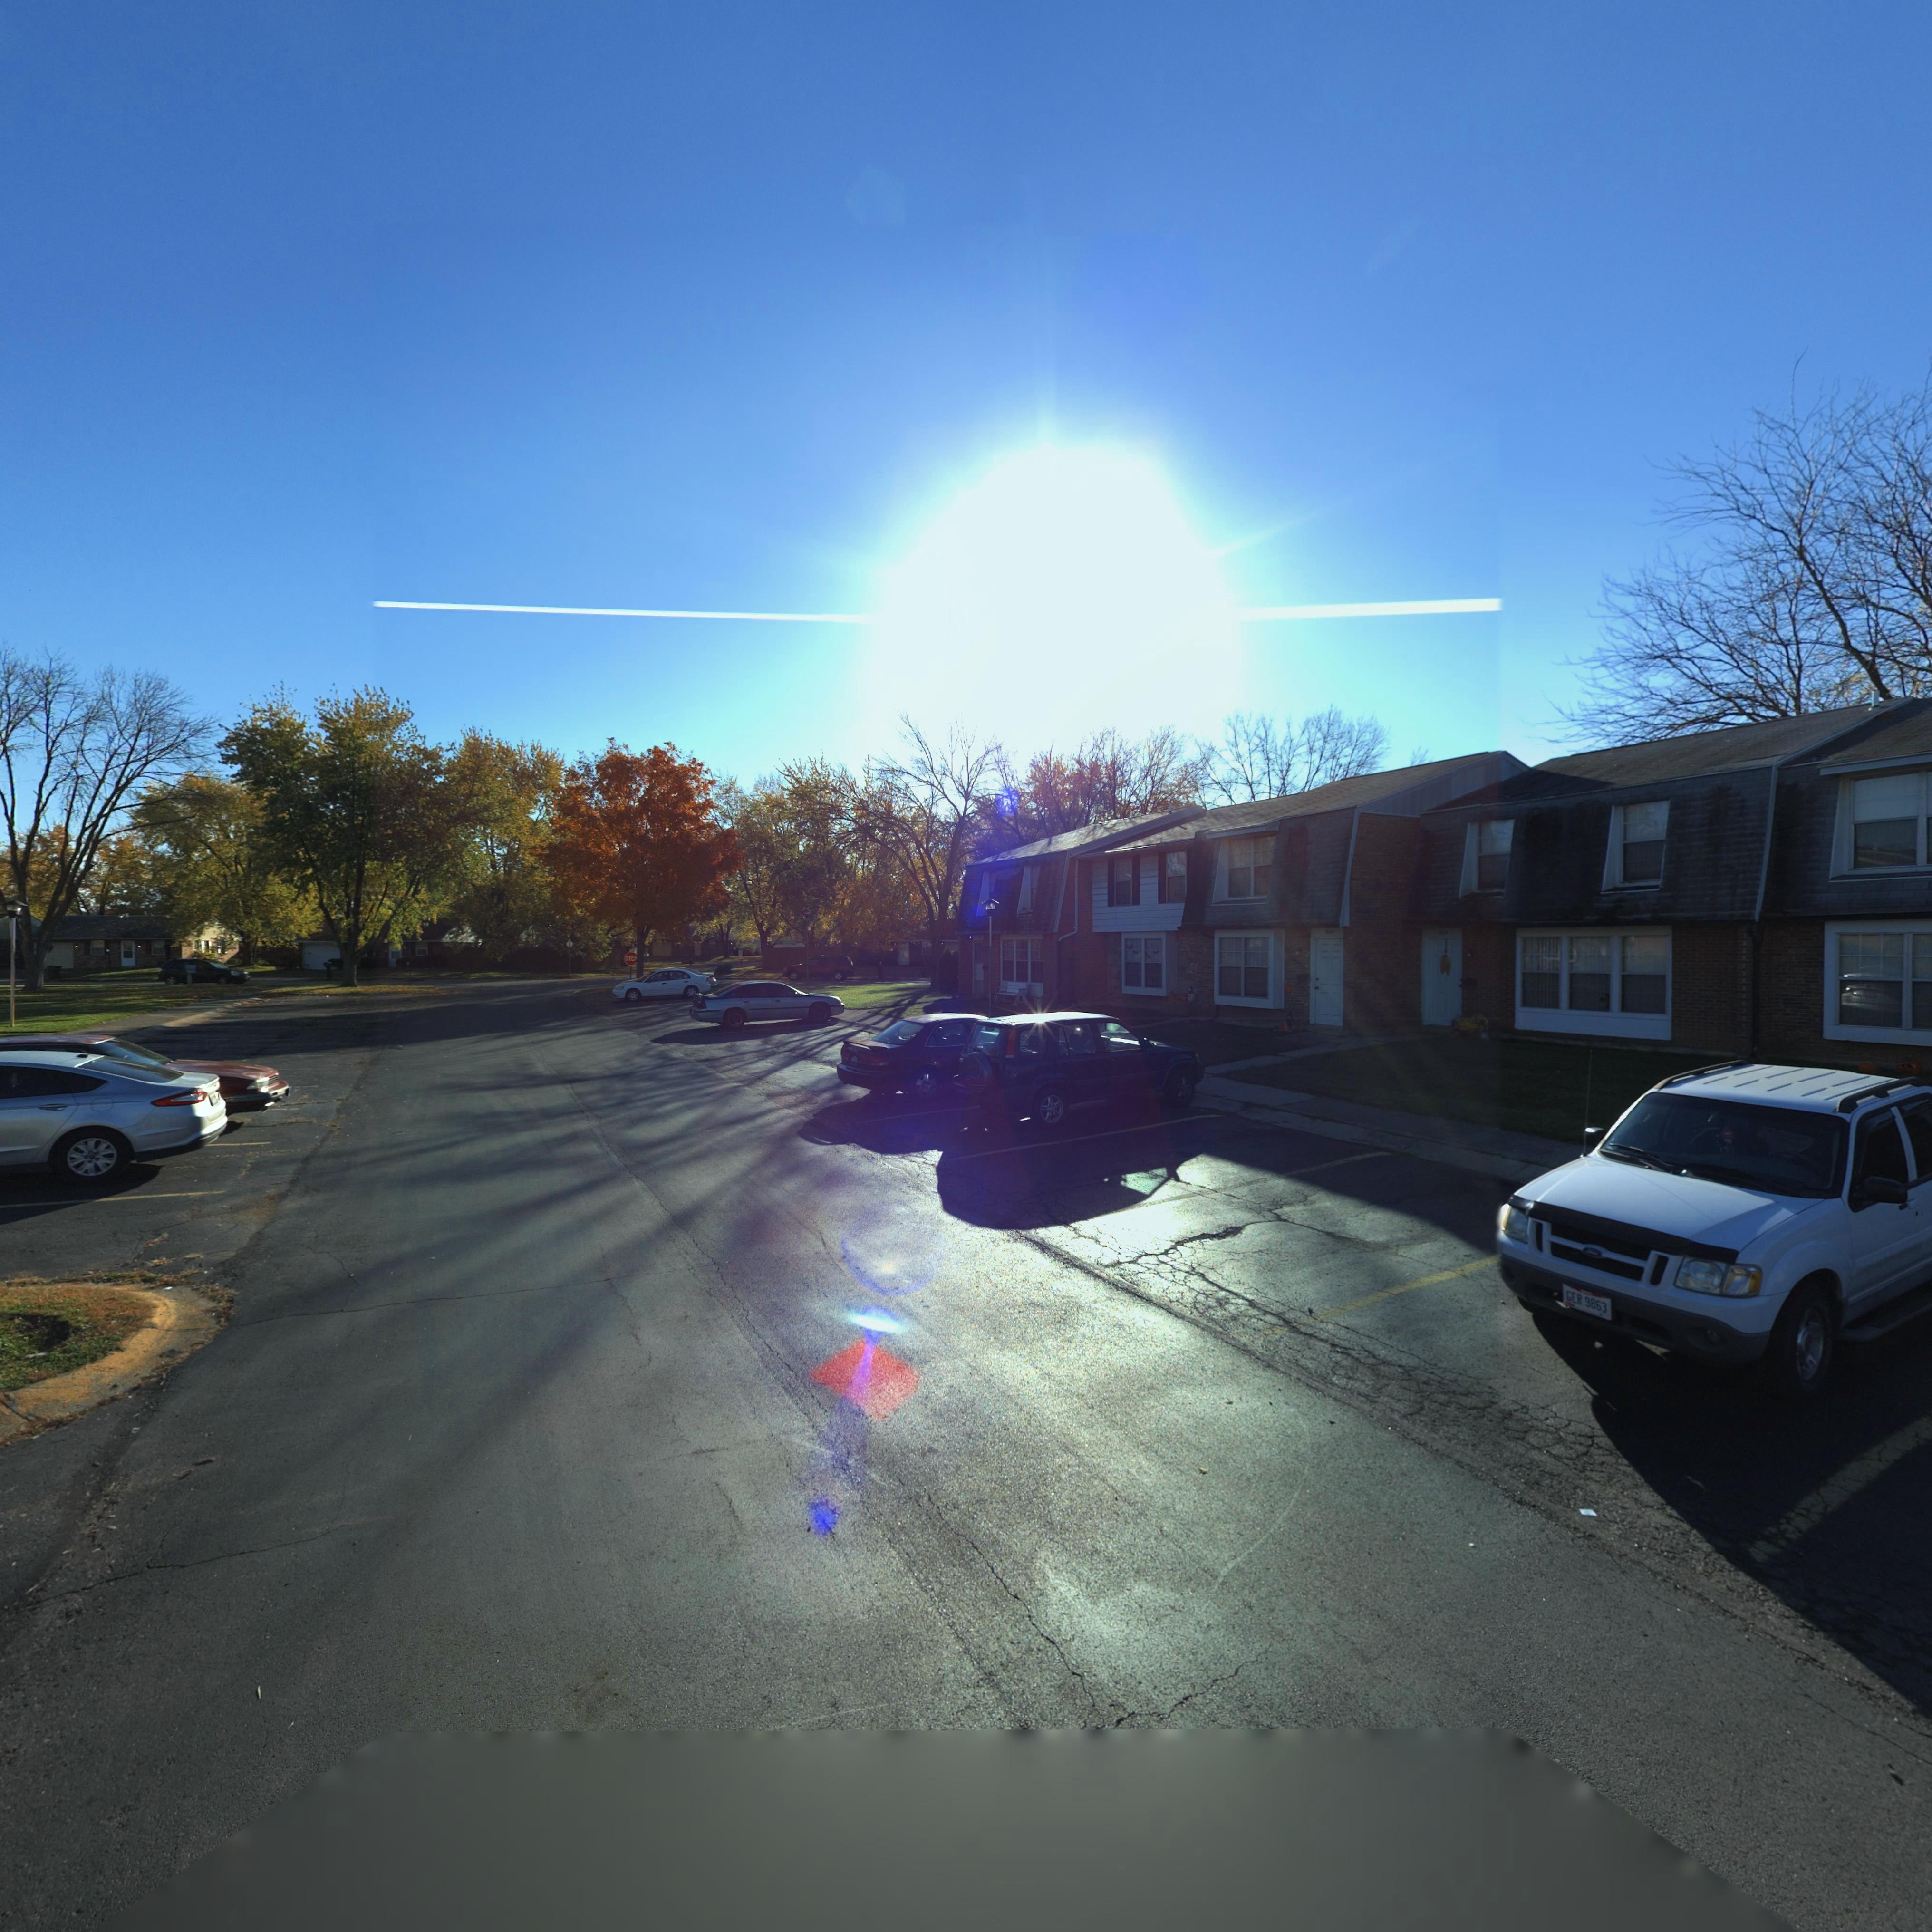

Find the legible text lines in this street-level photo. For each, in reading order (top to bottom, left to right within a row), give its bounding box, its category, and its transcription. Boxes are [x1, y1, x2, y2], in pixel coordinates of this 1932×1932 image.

[1437, 929, 1450, 935] StreetNumber: 7***